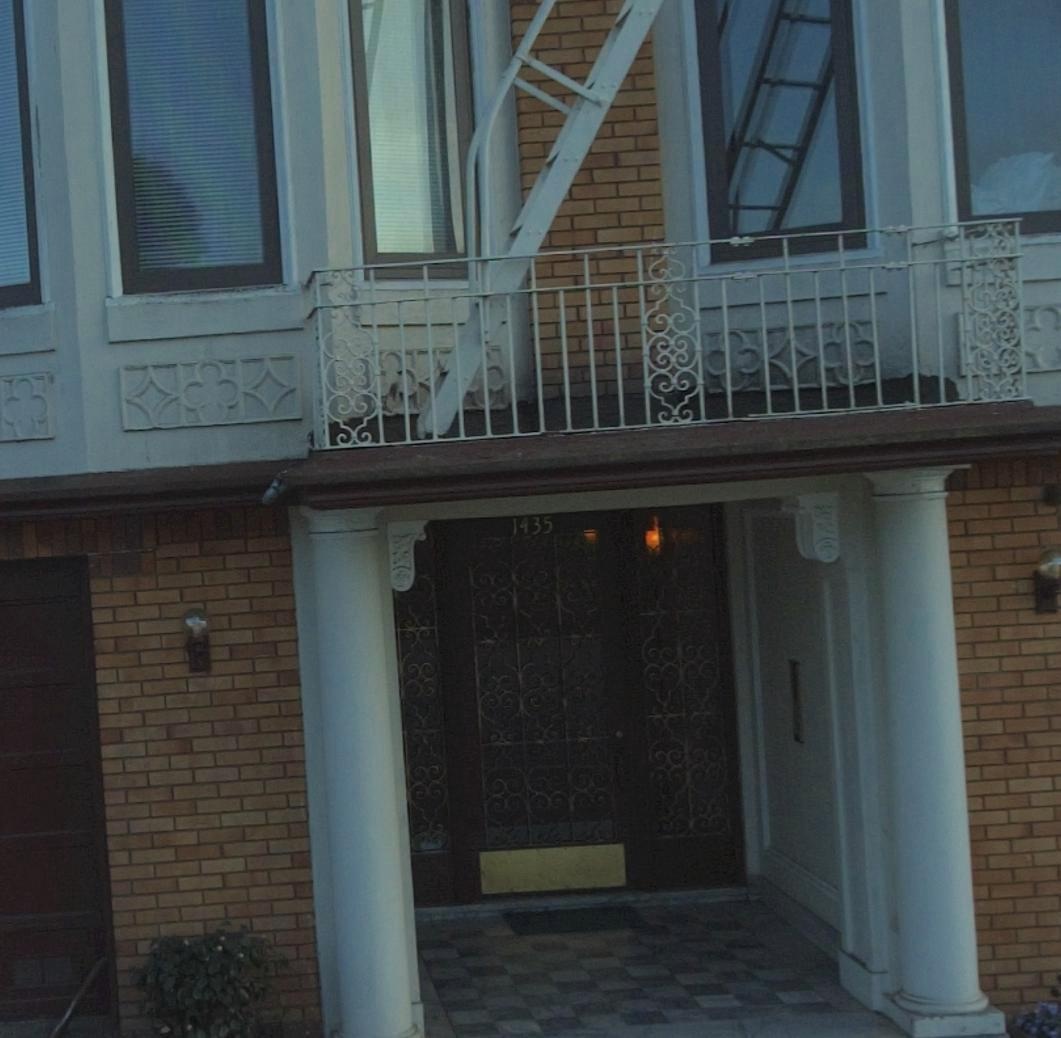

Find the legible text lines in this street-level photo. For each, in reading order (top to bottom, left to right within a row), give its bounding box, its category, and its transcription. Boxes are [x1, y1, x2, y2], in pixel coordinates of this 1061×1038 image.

[510, 513, 556, 539] StreetNumber: 1435